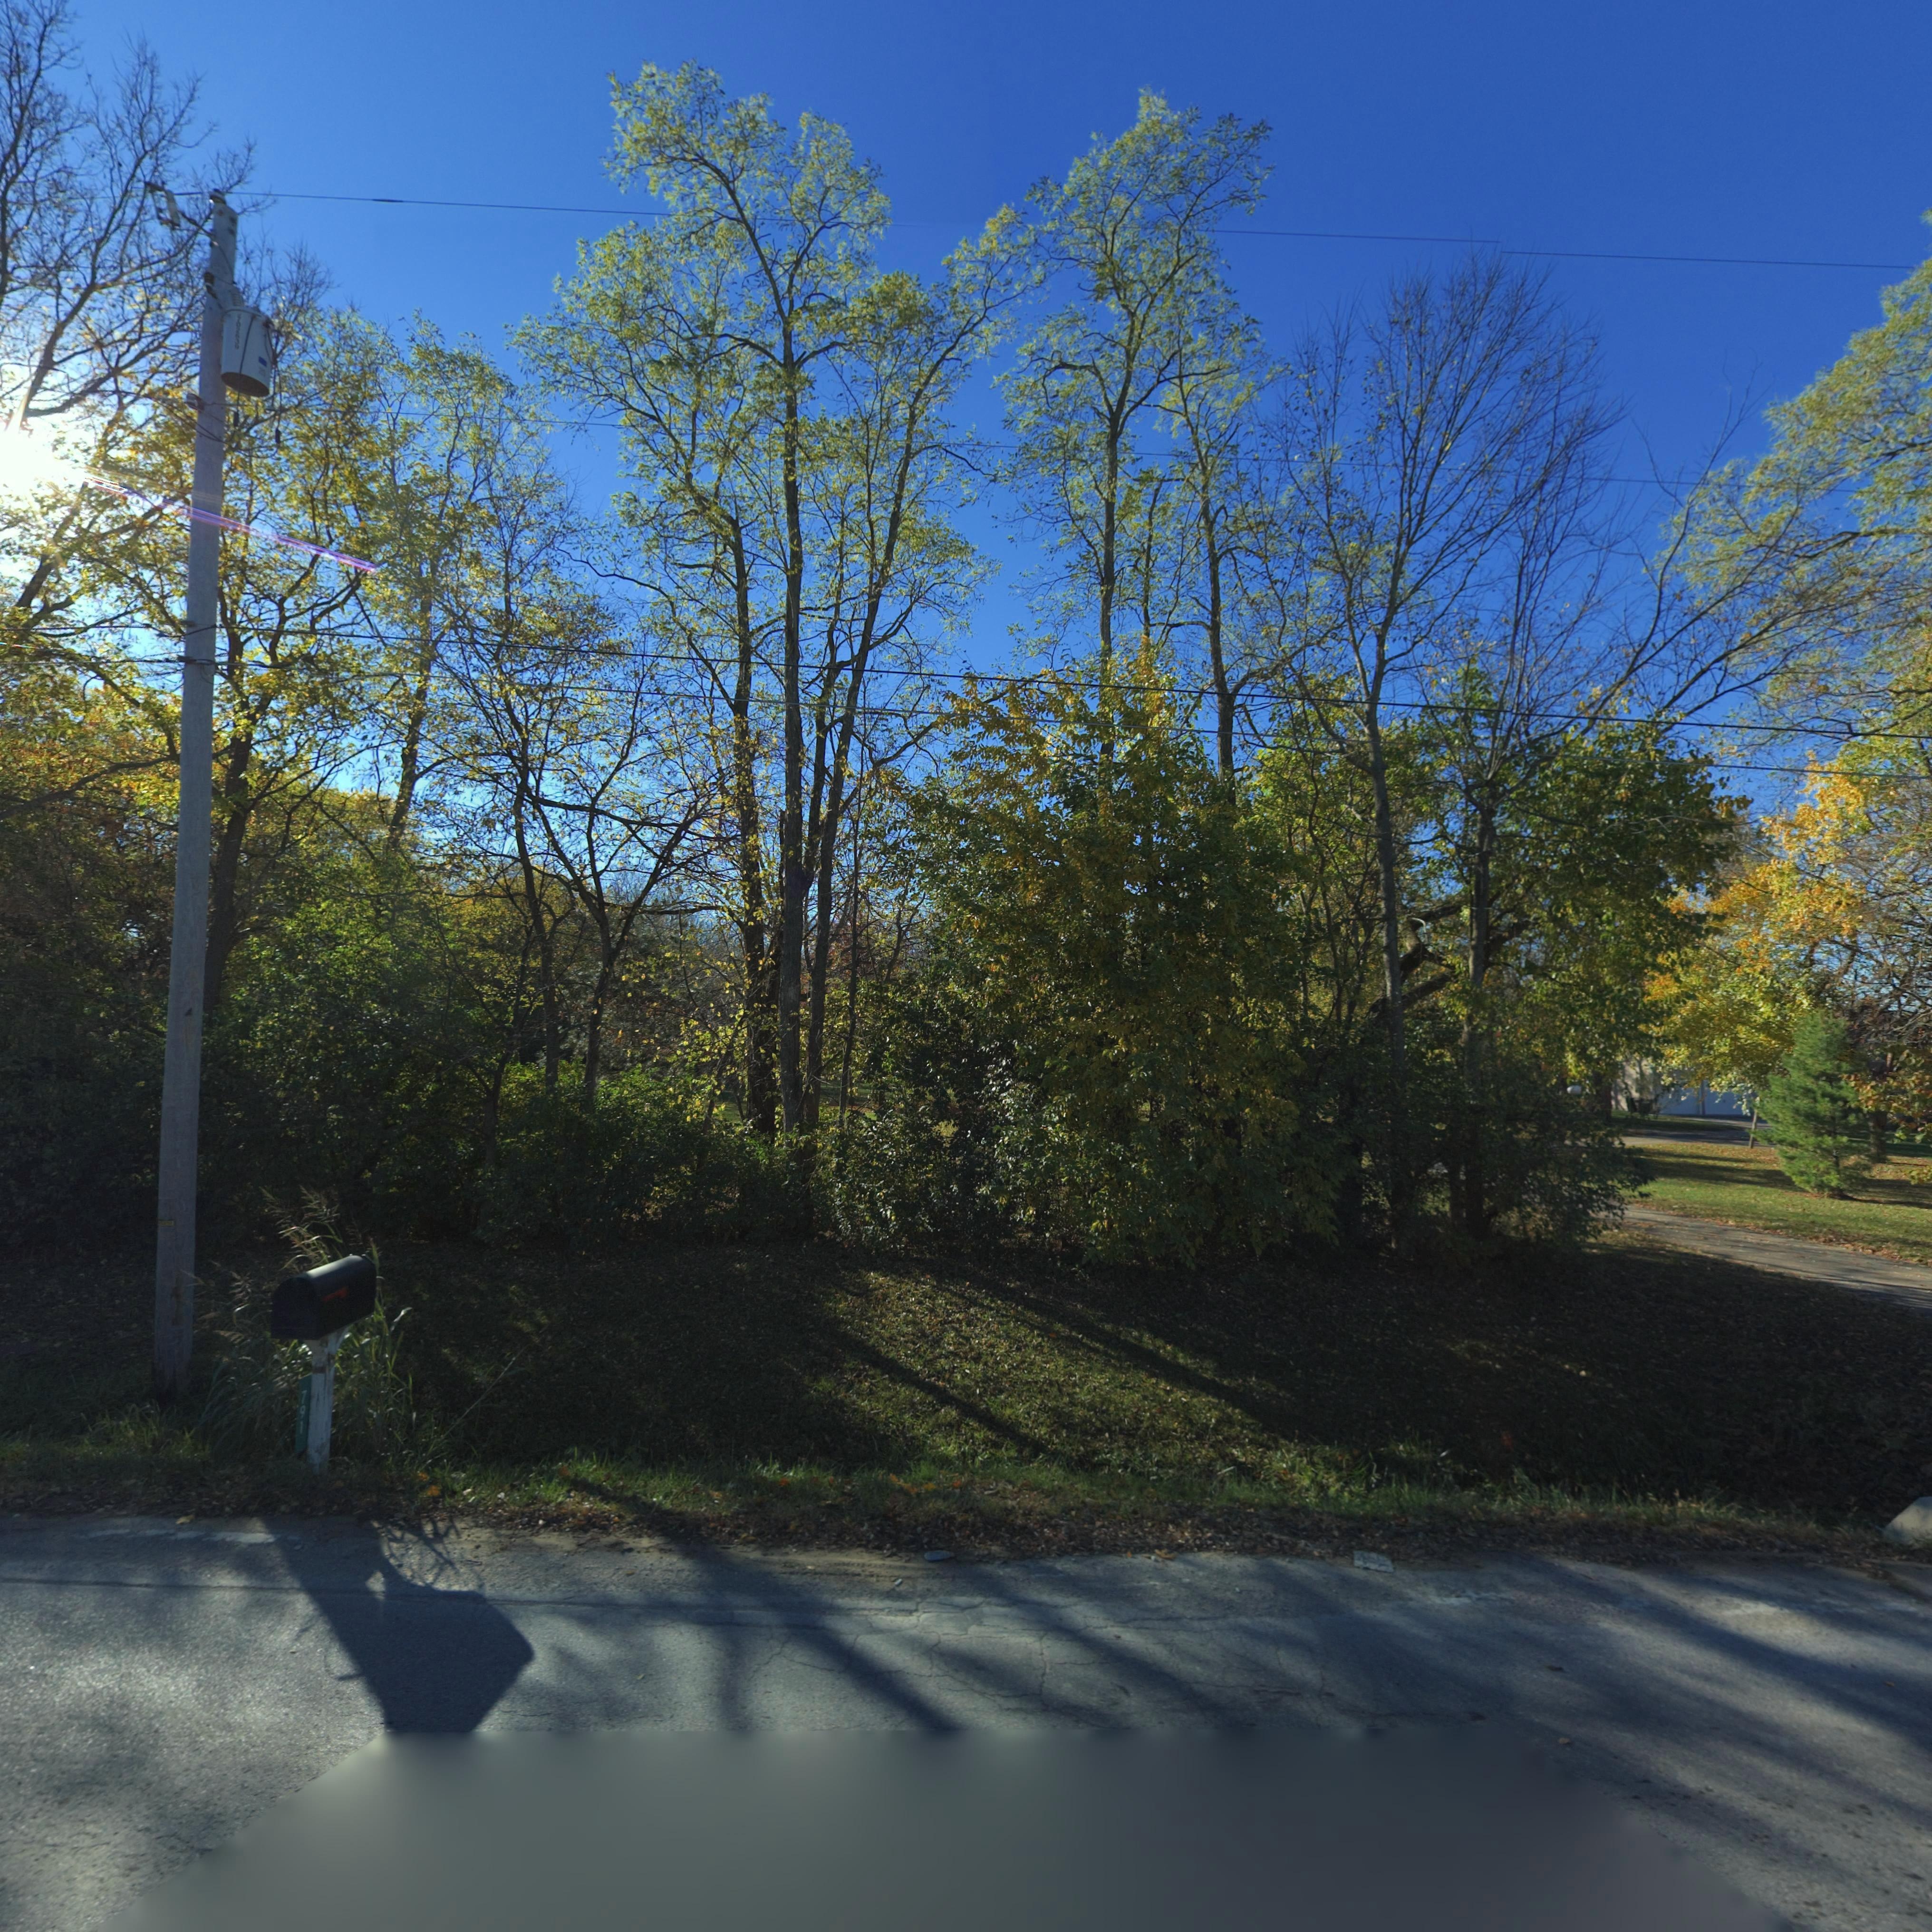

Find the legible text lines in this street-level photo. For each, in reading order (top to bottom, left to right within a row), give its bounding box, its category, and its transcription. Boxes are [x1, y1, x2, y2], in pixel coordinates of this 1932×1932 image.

[298, 1389, 308, 1436] StreetNumber: 791